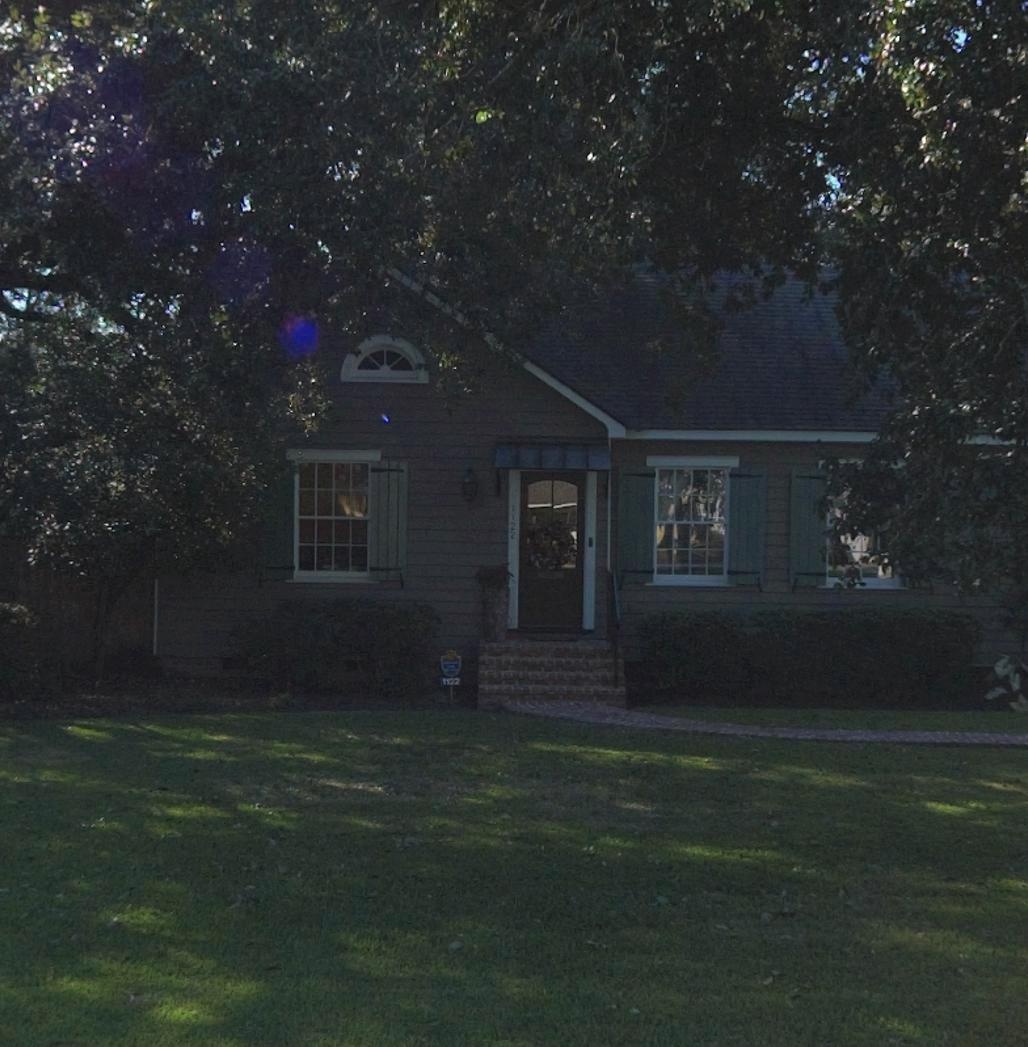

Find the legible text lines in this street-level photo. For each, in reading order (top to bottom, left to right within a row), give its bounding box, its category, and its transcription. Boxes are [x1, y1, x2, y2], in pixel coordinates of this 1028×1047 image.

[508, 500, 518, 542] StreetNumber: 1122
[440, 677, 462, 686] StreetNumber: 1122